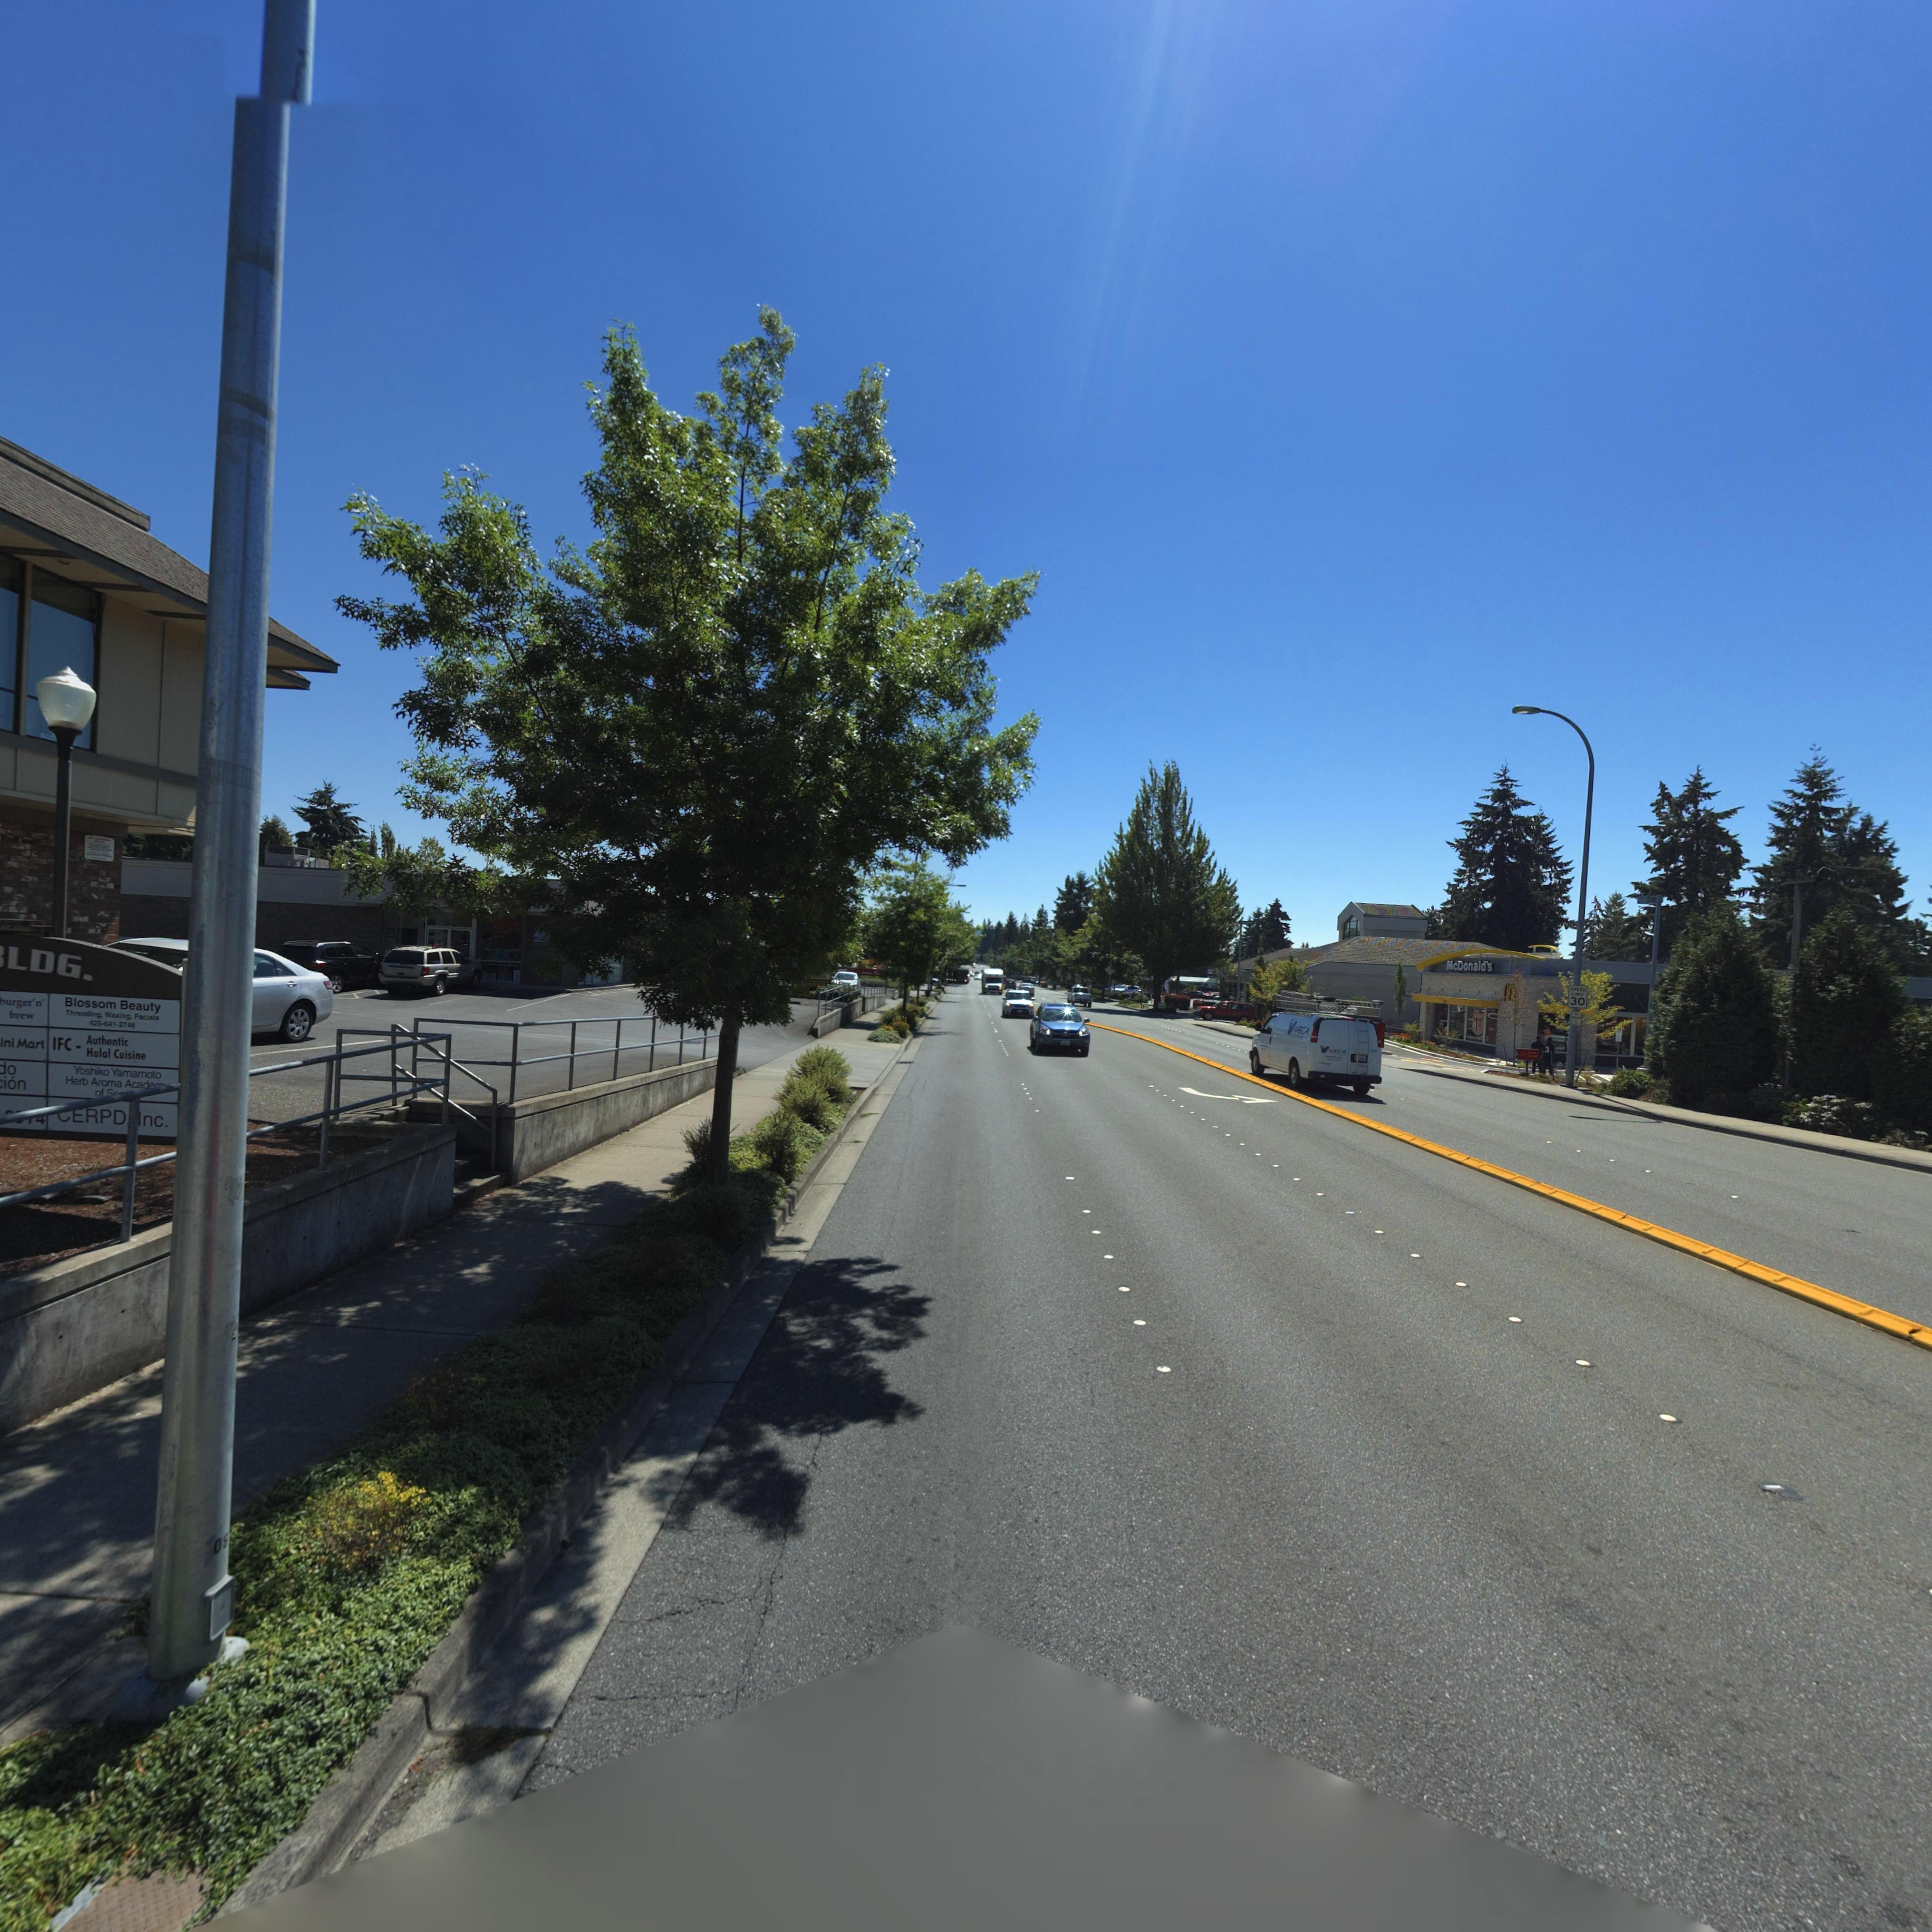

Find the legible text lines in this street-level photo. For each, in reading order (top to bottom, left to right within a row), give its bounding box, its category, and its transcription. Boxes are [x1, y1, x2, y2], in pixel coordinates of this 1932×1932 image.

[1446, 960, 1492, 972] BusinessName: McDonald*s
[65, 996, 162, 1014] BusinessName: Blossom Beauty
[50, 1036, 72, 1053] BusinessName: IFC
[86, 1034, 129, 1047] BusinessName: Authentic
[86, 1046, 147, 1061] BusinessName: Halal Cuisine
[73, 1065, 163, 1080] BusinessName: Yoshiko Yamamoto
[64, 1073, 151, 1090] BusinessName: Herb Aroma Acad